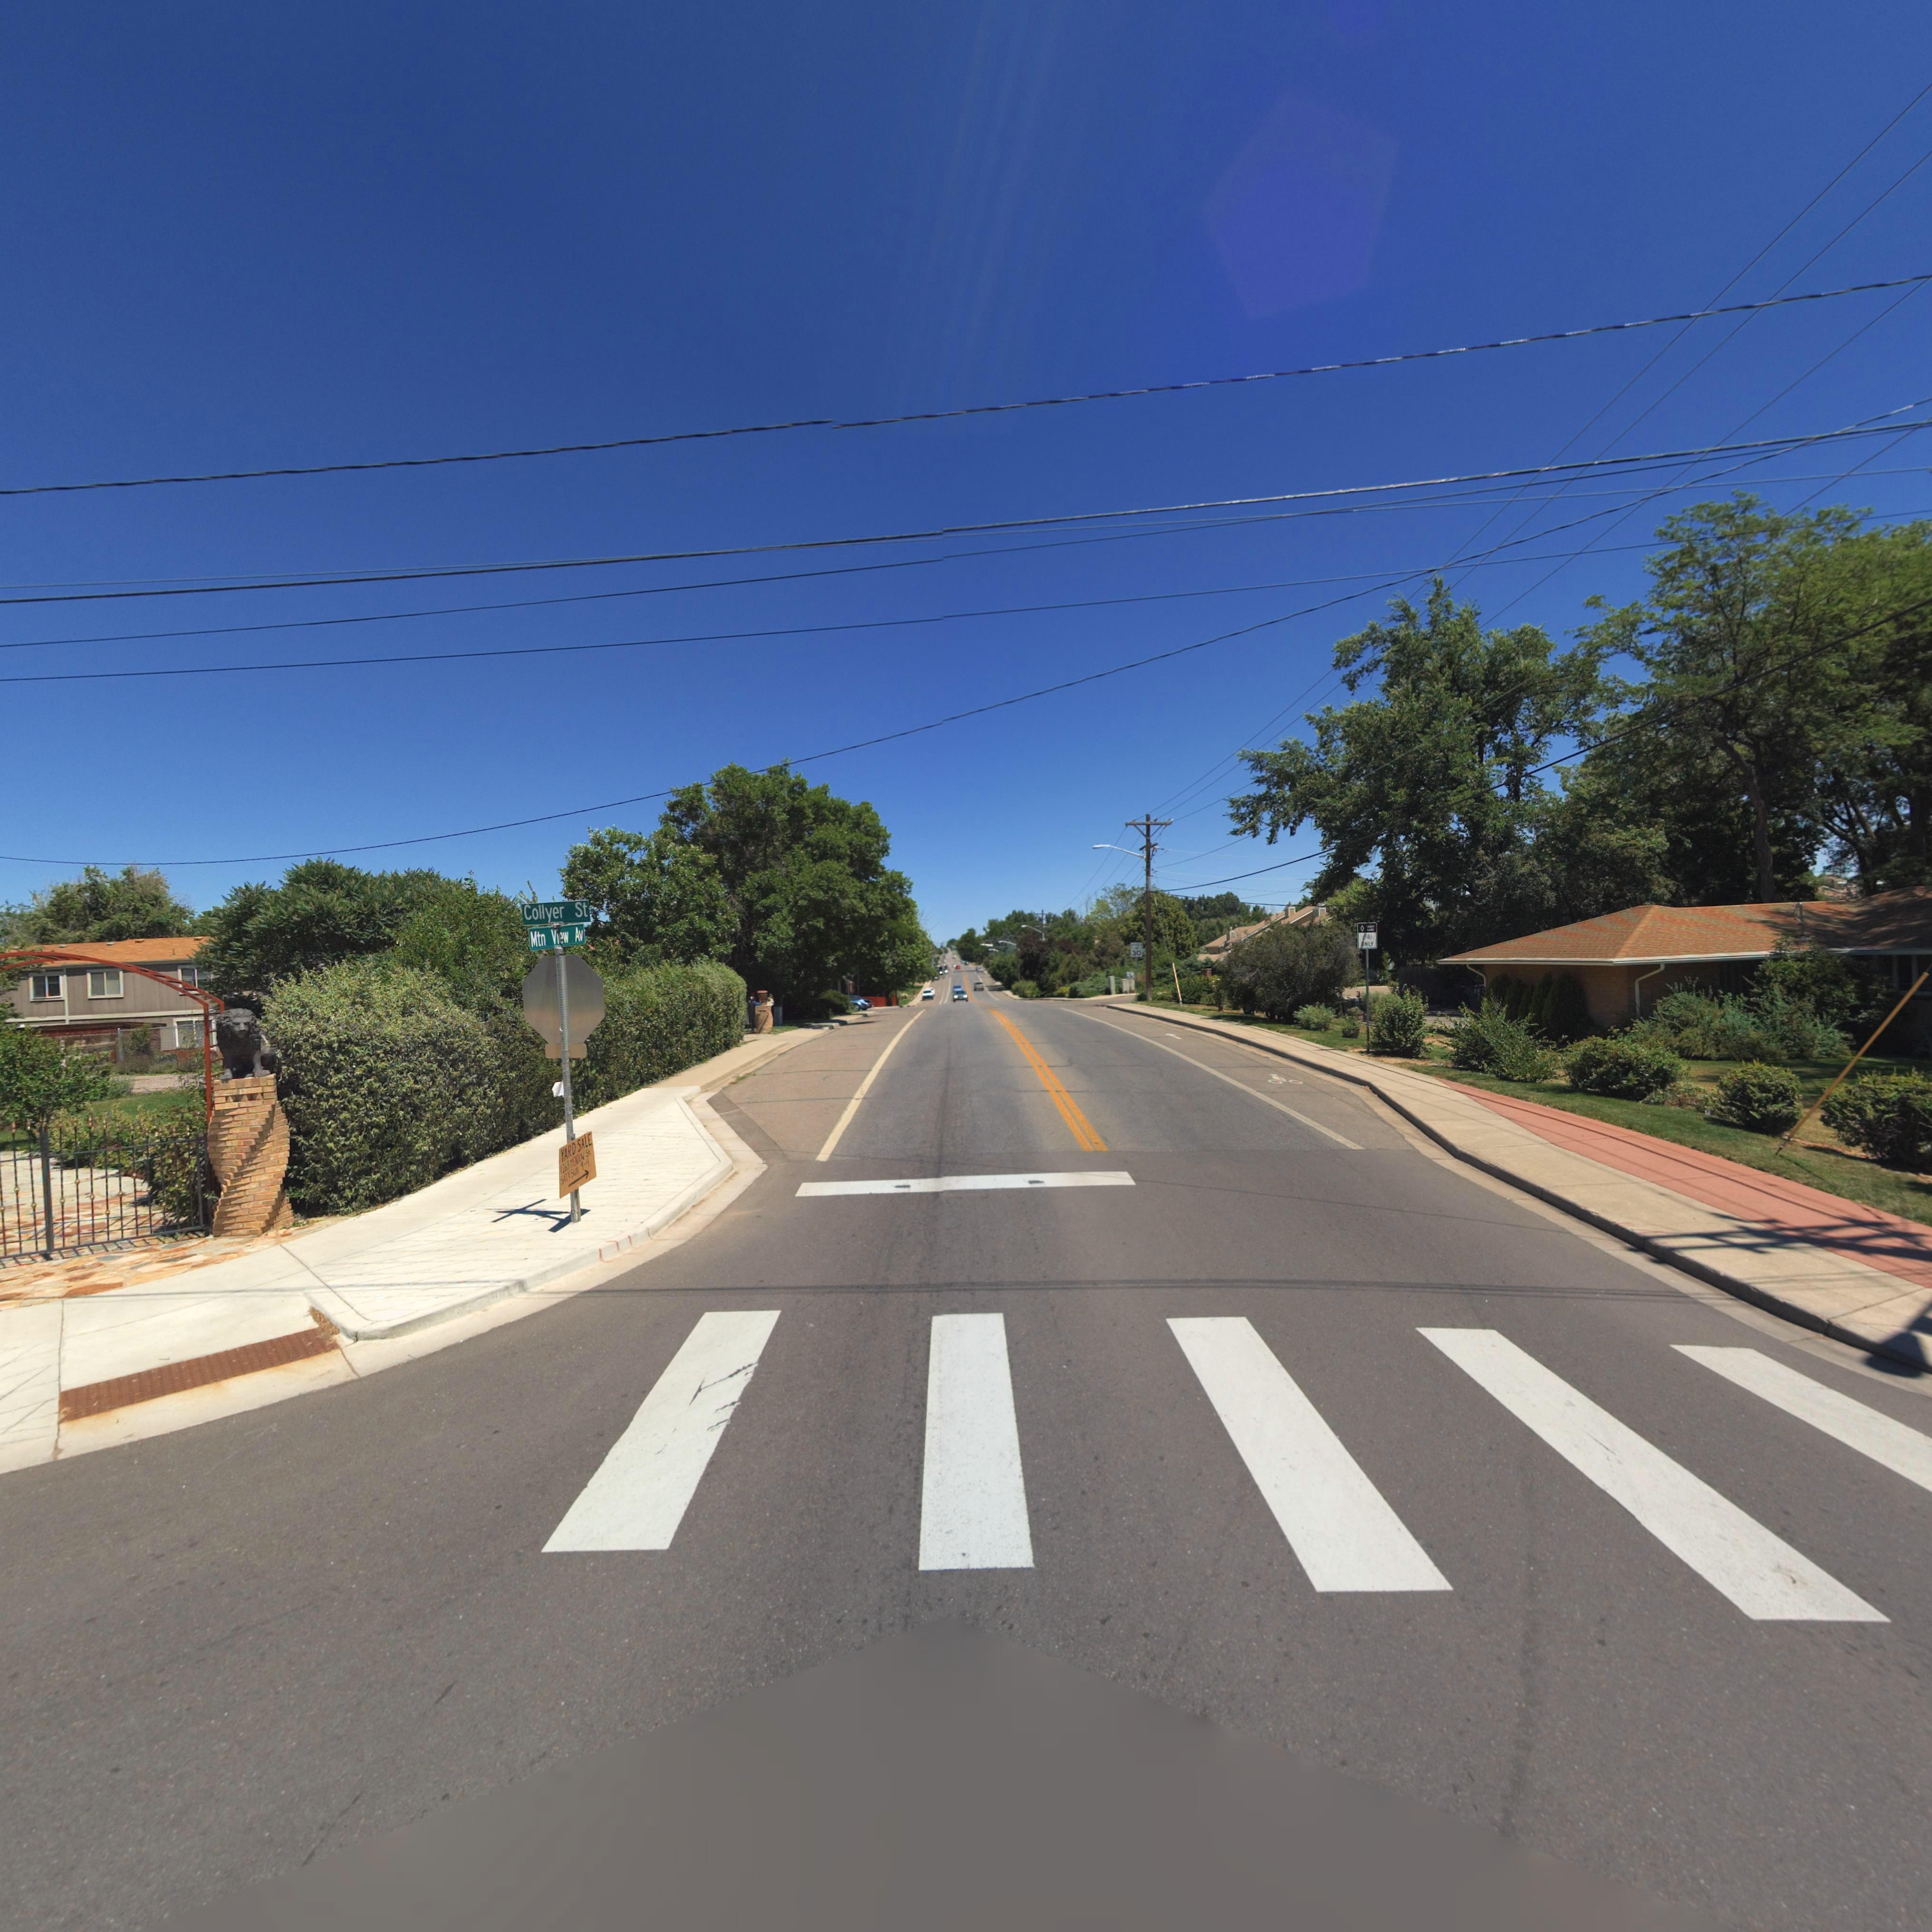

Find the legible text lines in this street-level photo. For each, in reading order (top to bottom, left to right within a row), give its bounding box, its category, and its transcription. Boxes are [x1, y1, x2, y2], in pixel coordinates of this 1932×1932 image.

[524, 901, 588, 923] StreetName: Collyer St
[530, 927, 583, 948] StreetName: Mtn View Av